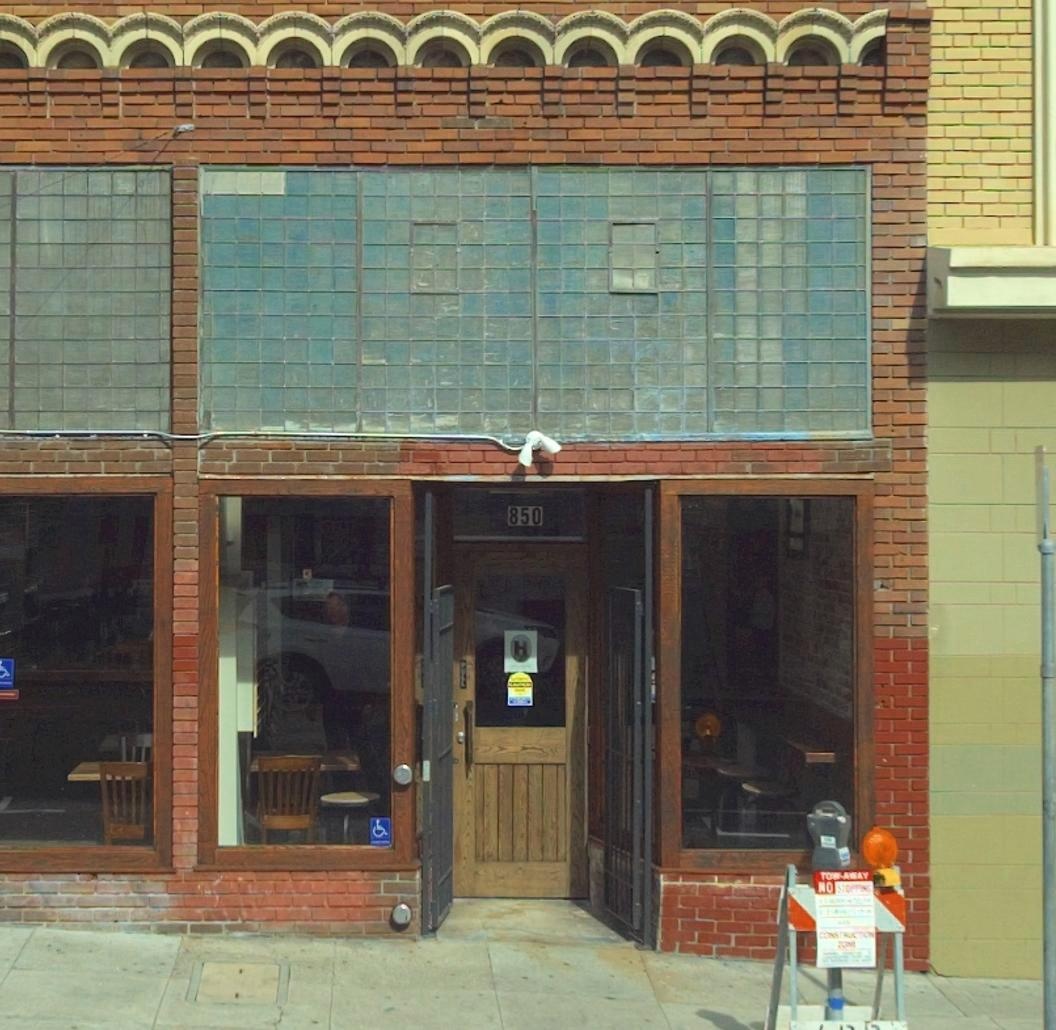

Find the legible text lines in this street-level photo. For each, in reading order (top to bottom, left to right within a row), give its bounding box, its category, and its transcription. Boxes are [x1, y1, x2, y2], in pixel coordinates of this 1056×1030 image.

[504, 504, 545, 529] StreetNumber: 850
[511, 637, 531, 660] None: H
[460, 661, 468, 690] None: PULL
[814, 868, 872, 884] None: TOW-AWAY
[815, 877, 837, 897] None: NO
[835, 940, 850, 951] None: ZO
[816, 928, 879, 943] None: CONSTRUCTION